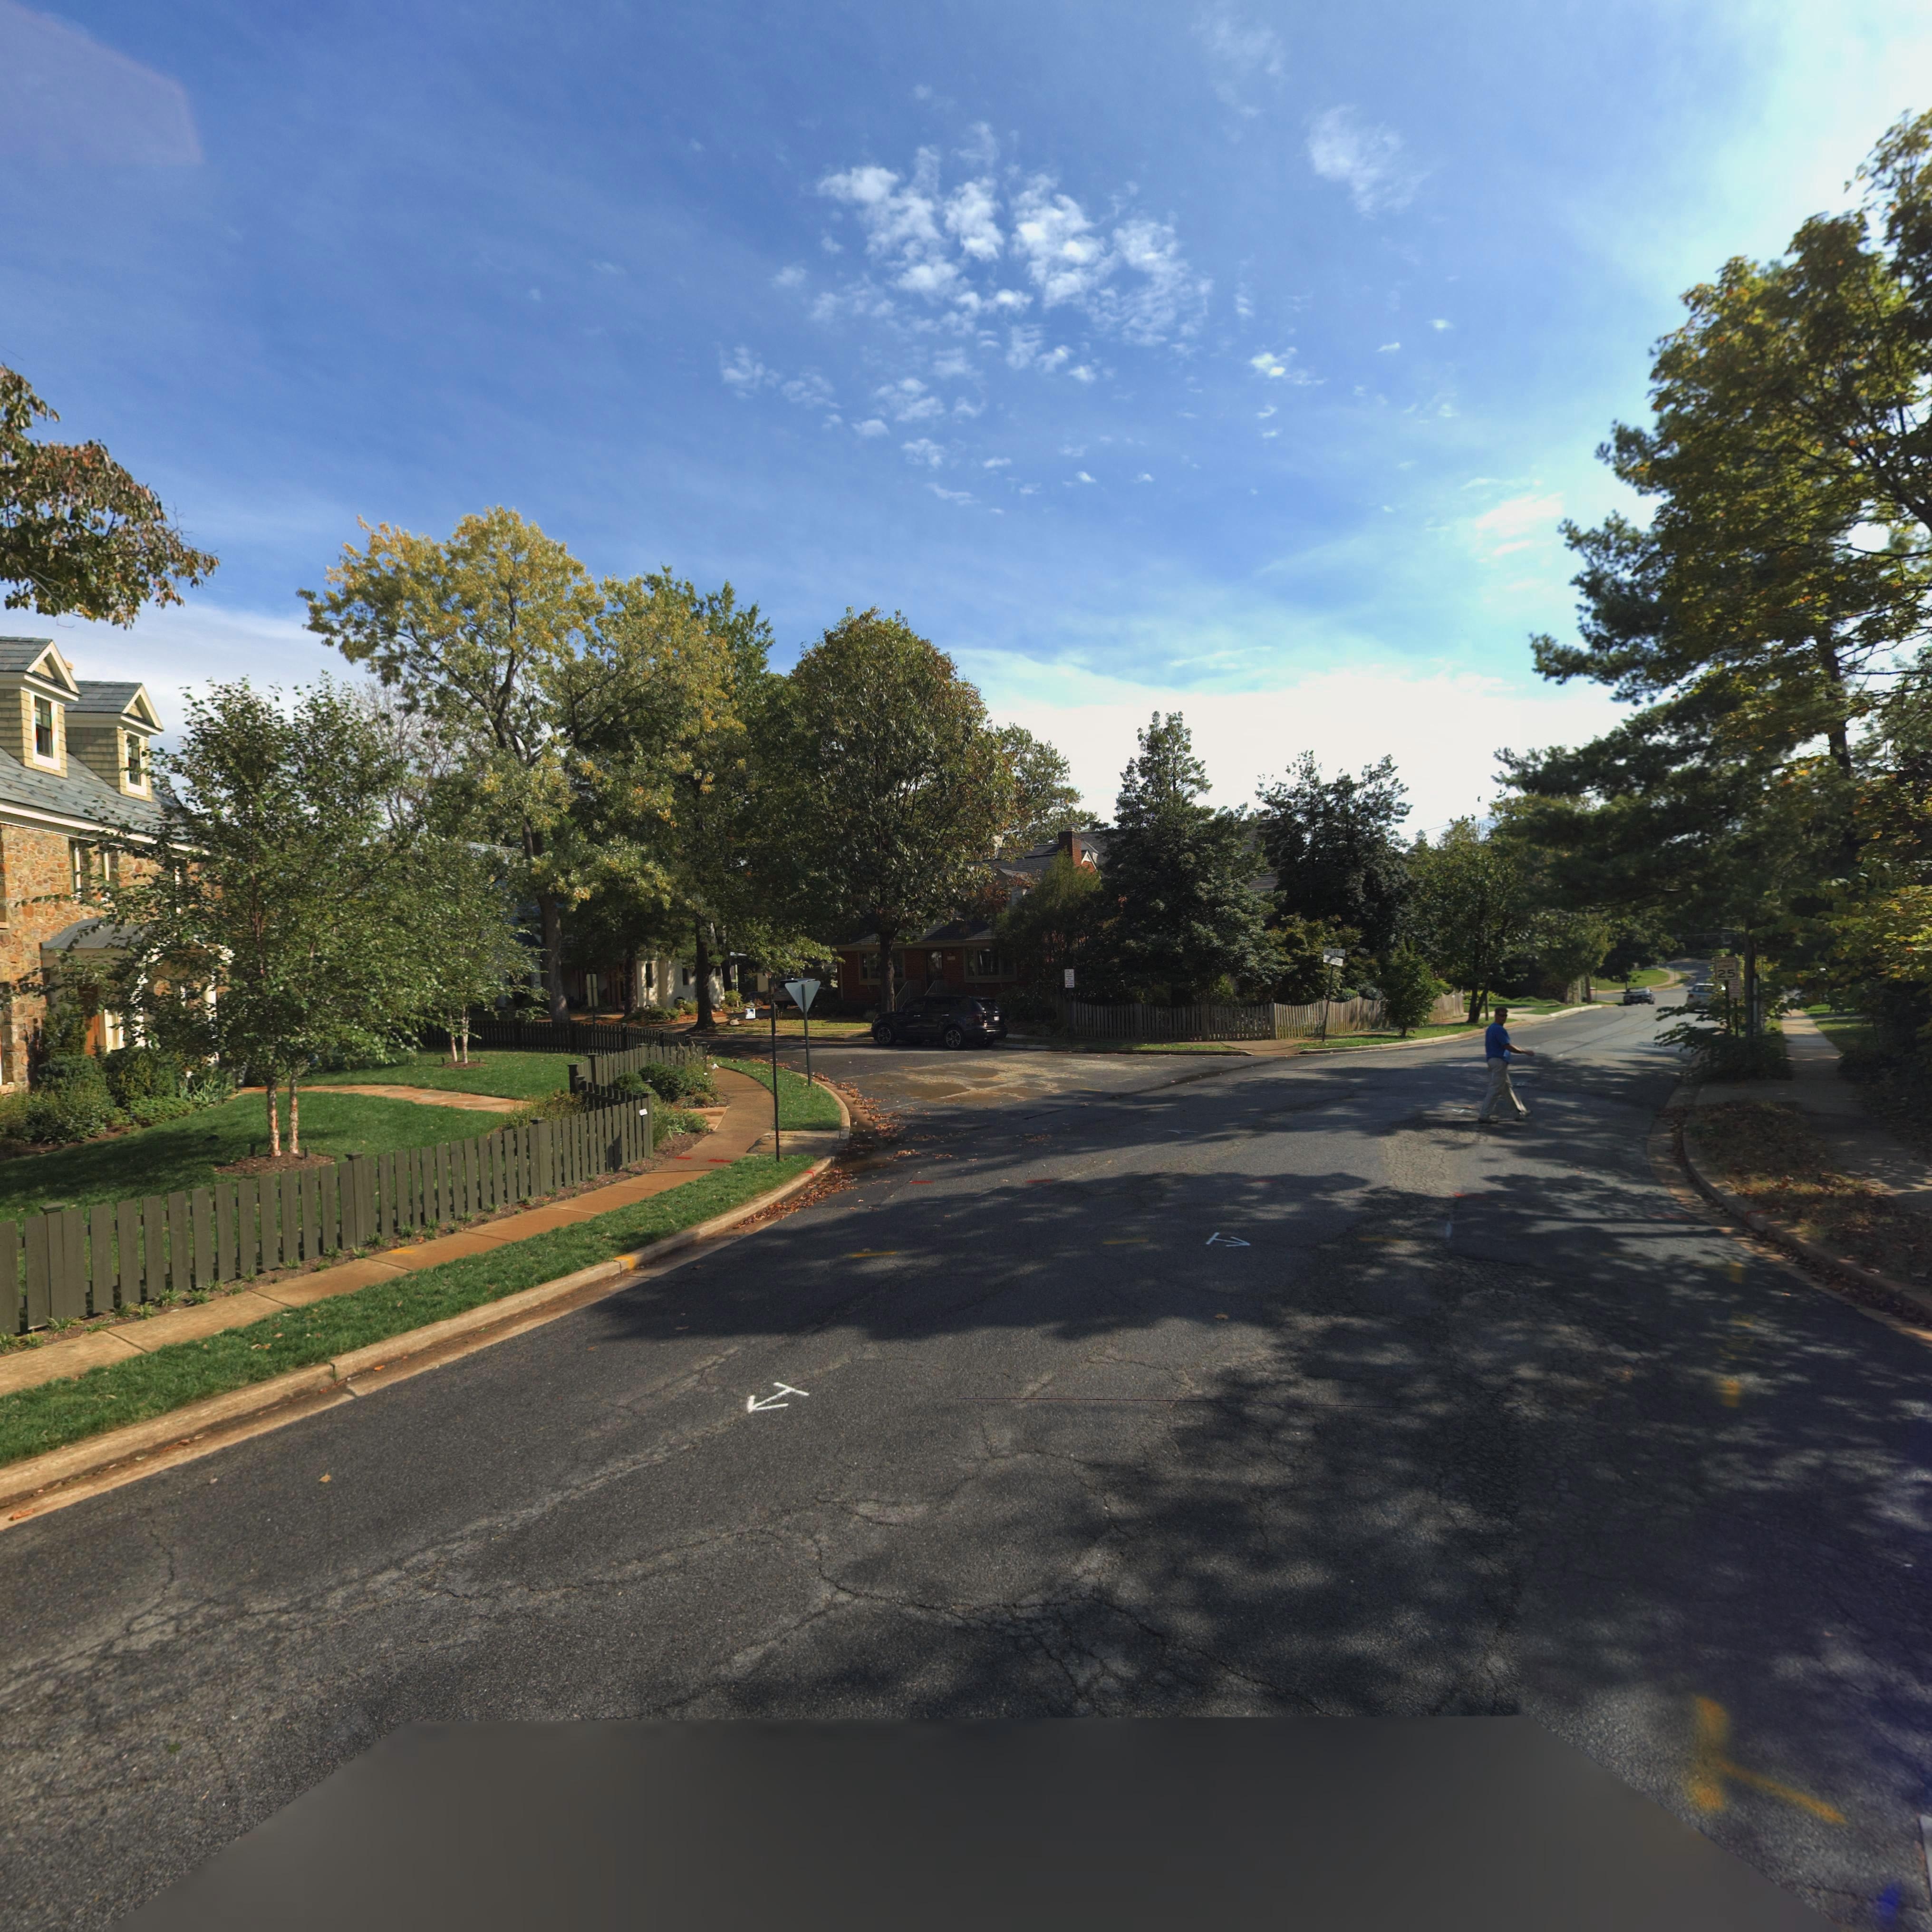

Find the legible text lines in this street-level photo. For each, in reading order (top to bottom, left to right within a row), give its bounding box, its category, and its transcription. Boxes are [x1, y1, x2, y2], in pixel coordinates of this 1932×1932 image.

[1332, 949, 1340, 956] StreetName: ST